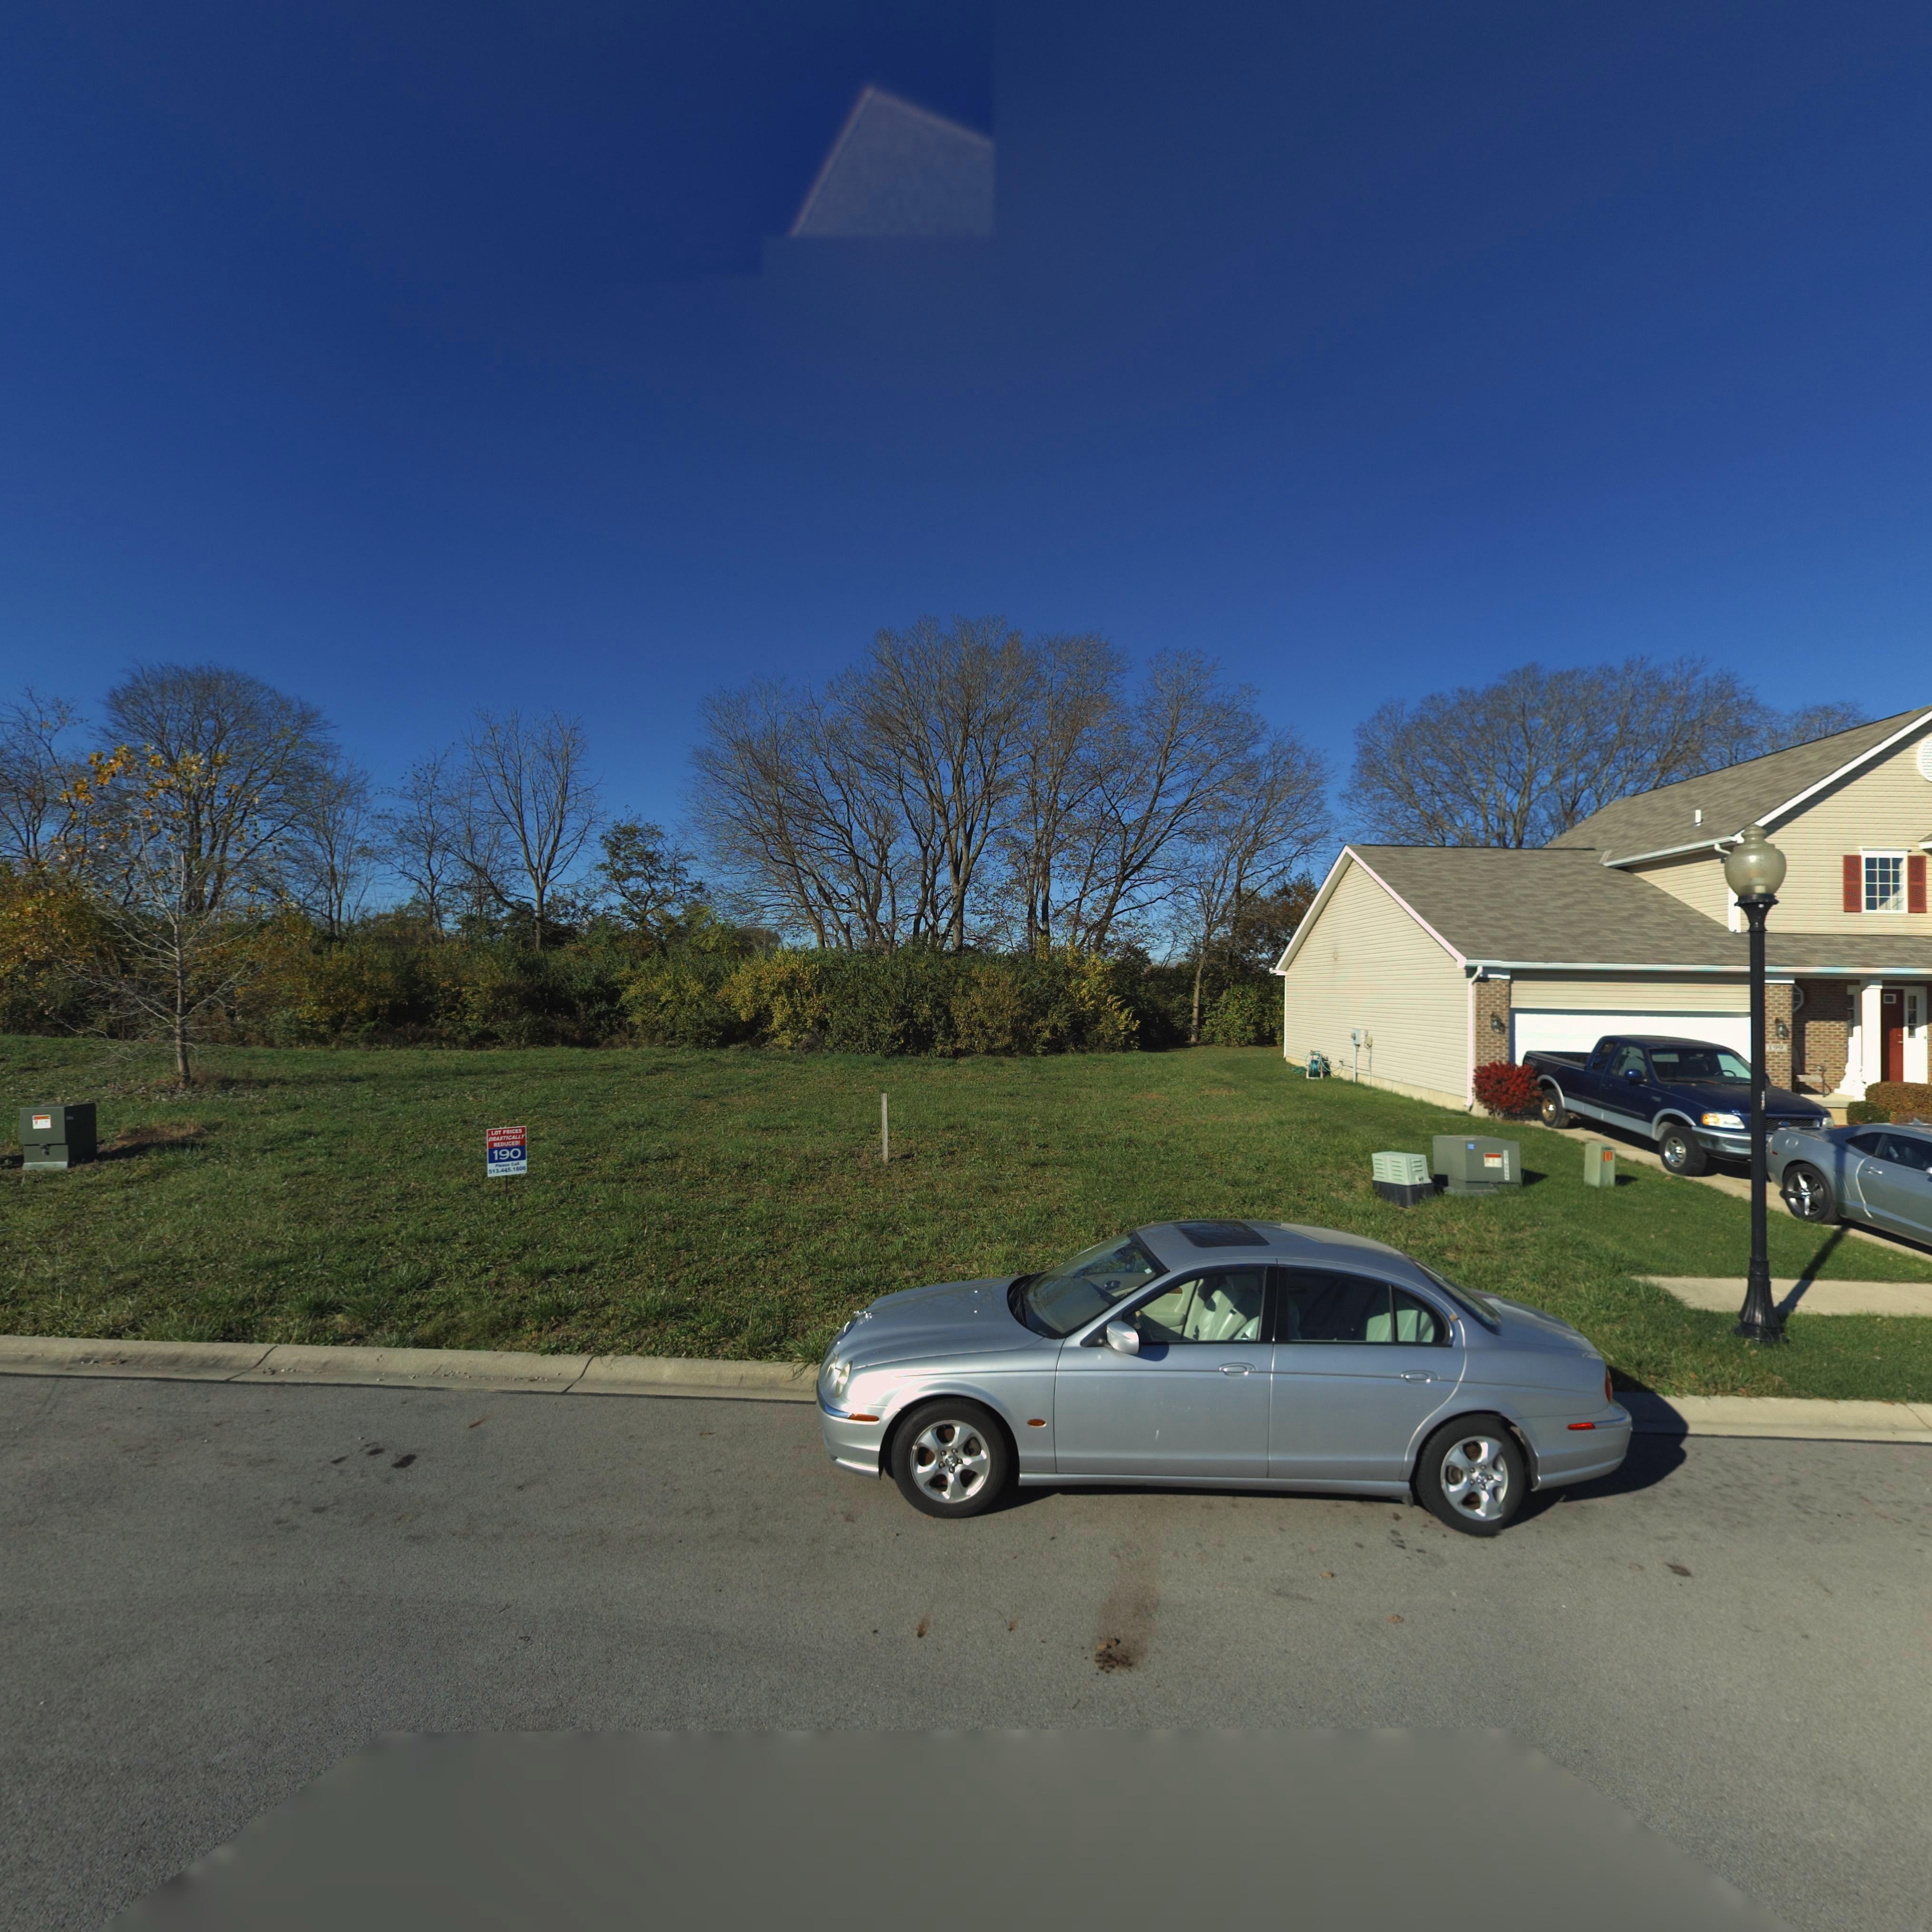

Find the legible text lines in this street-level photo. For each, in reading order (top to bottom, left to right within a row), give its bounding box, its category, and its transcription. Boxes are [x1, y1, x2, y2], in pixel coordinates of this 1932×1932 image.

[1768, 1044, 1784, 1051] StreetNumber: 199